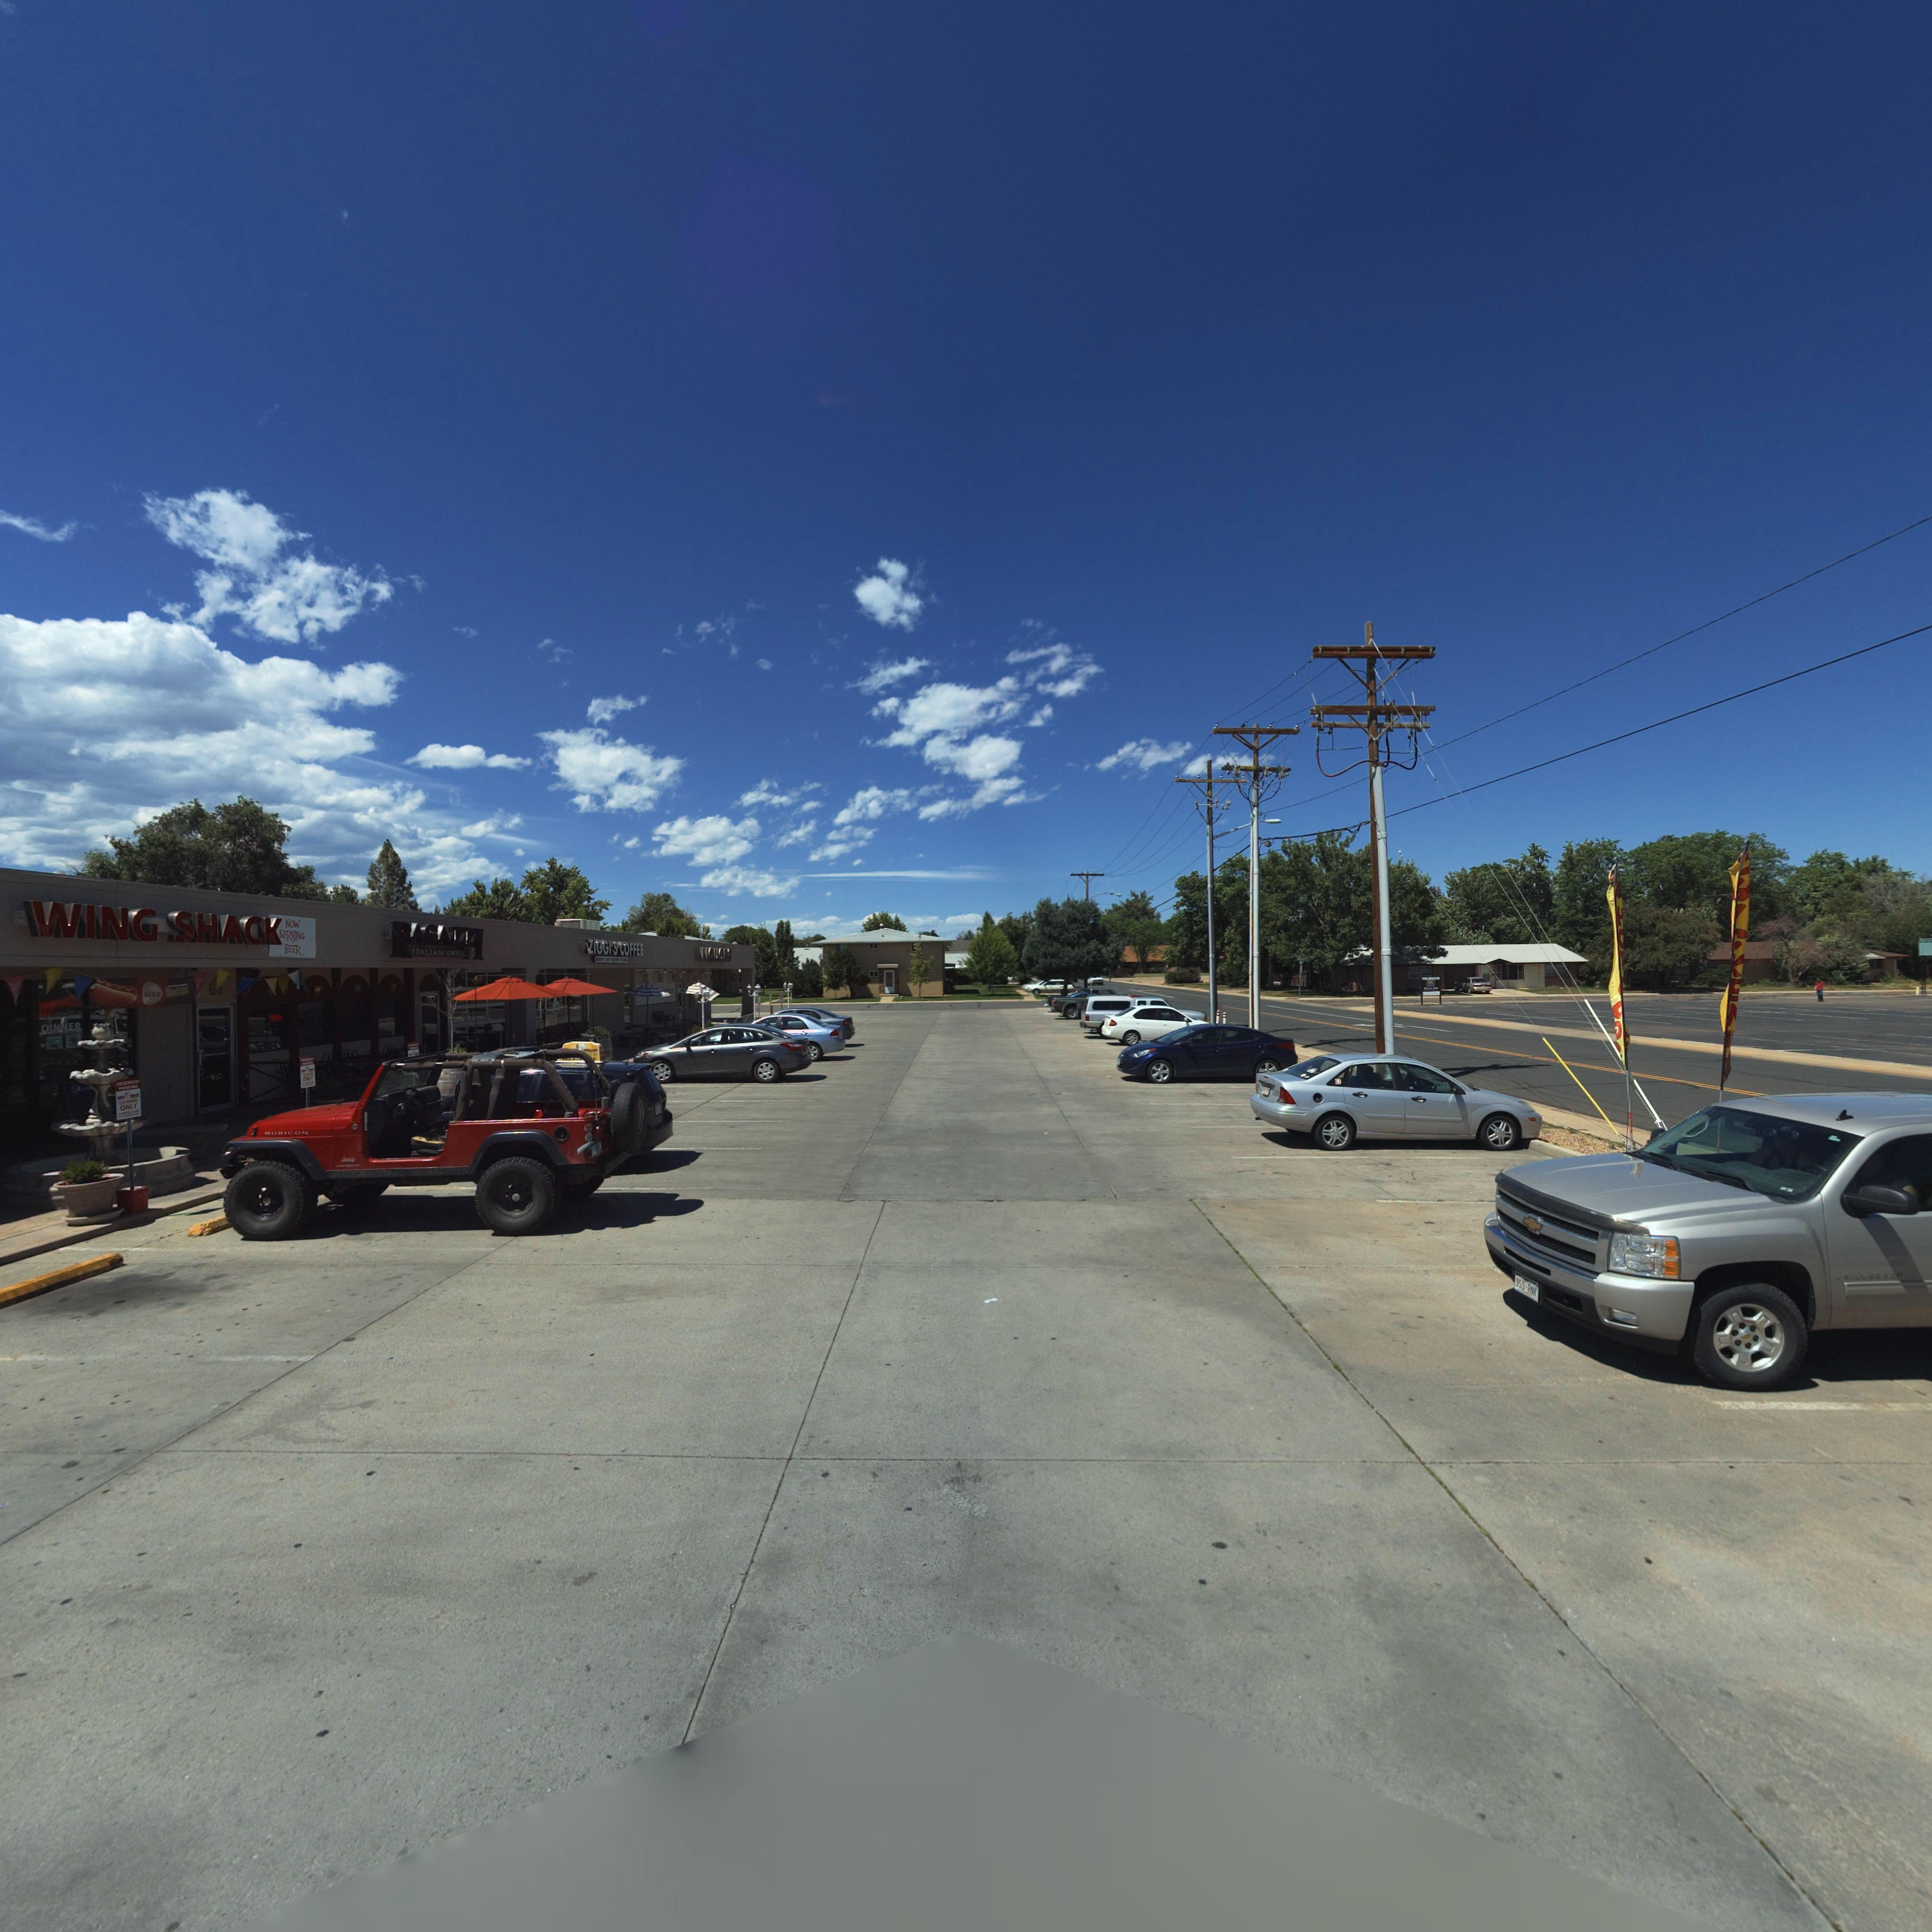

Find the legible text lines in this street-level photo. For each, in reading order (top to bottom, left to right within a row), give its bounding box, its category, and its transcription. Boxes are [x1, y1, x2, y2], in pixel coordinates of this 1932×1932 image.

[28, 898, 283, 946] BusinessName: WING SHACK
[389, 919, 486, 960] BusinessName: RAGAZZI
[412, 948, 465, 956] BusinessName: ITALIAN GRILL
[587, 938, 644, 956] BusinessName: ZIGGI*S COFFEE
[701, 946, 733, 962] BusinessName: LIQUORS
[209, 987, 222, 995] StreetNumber: 1159